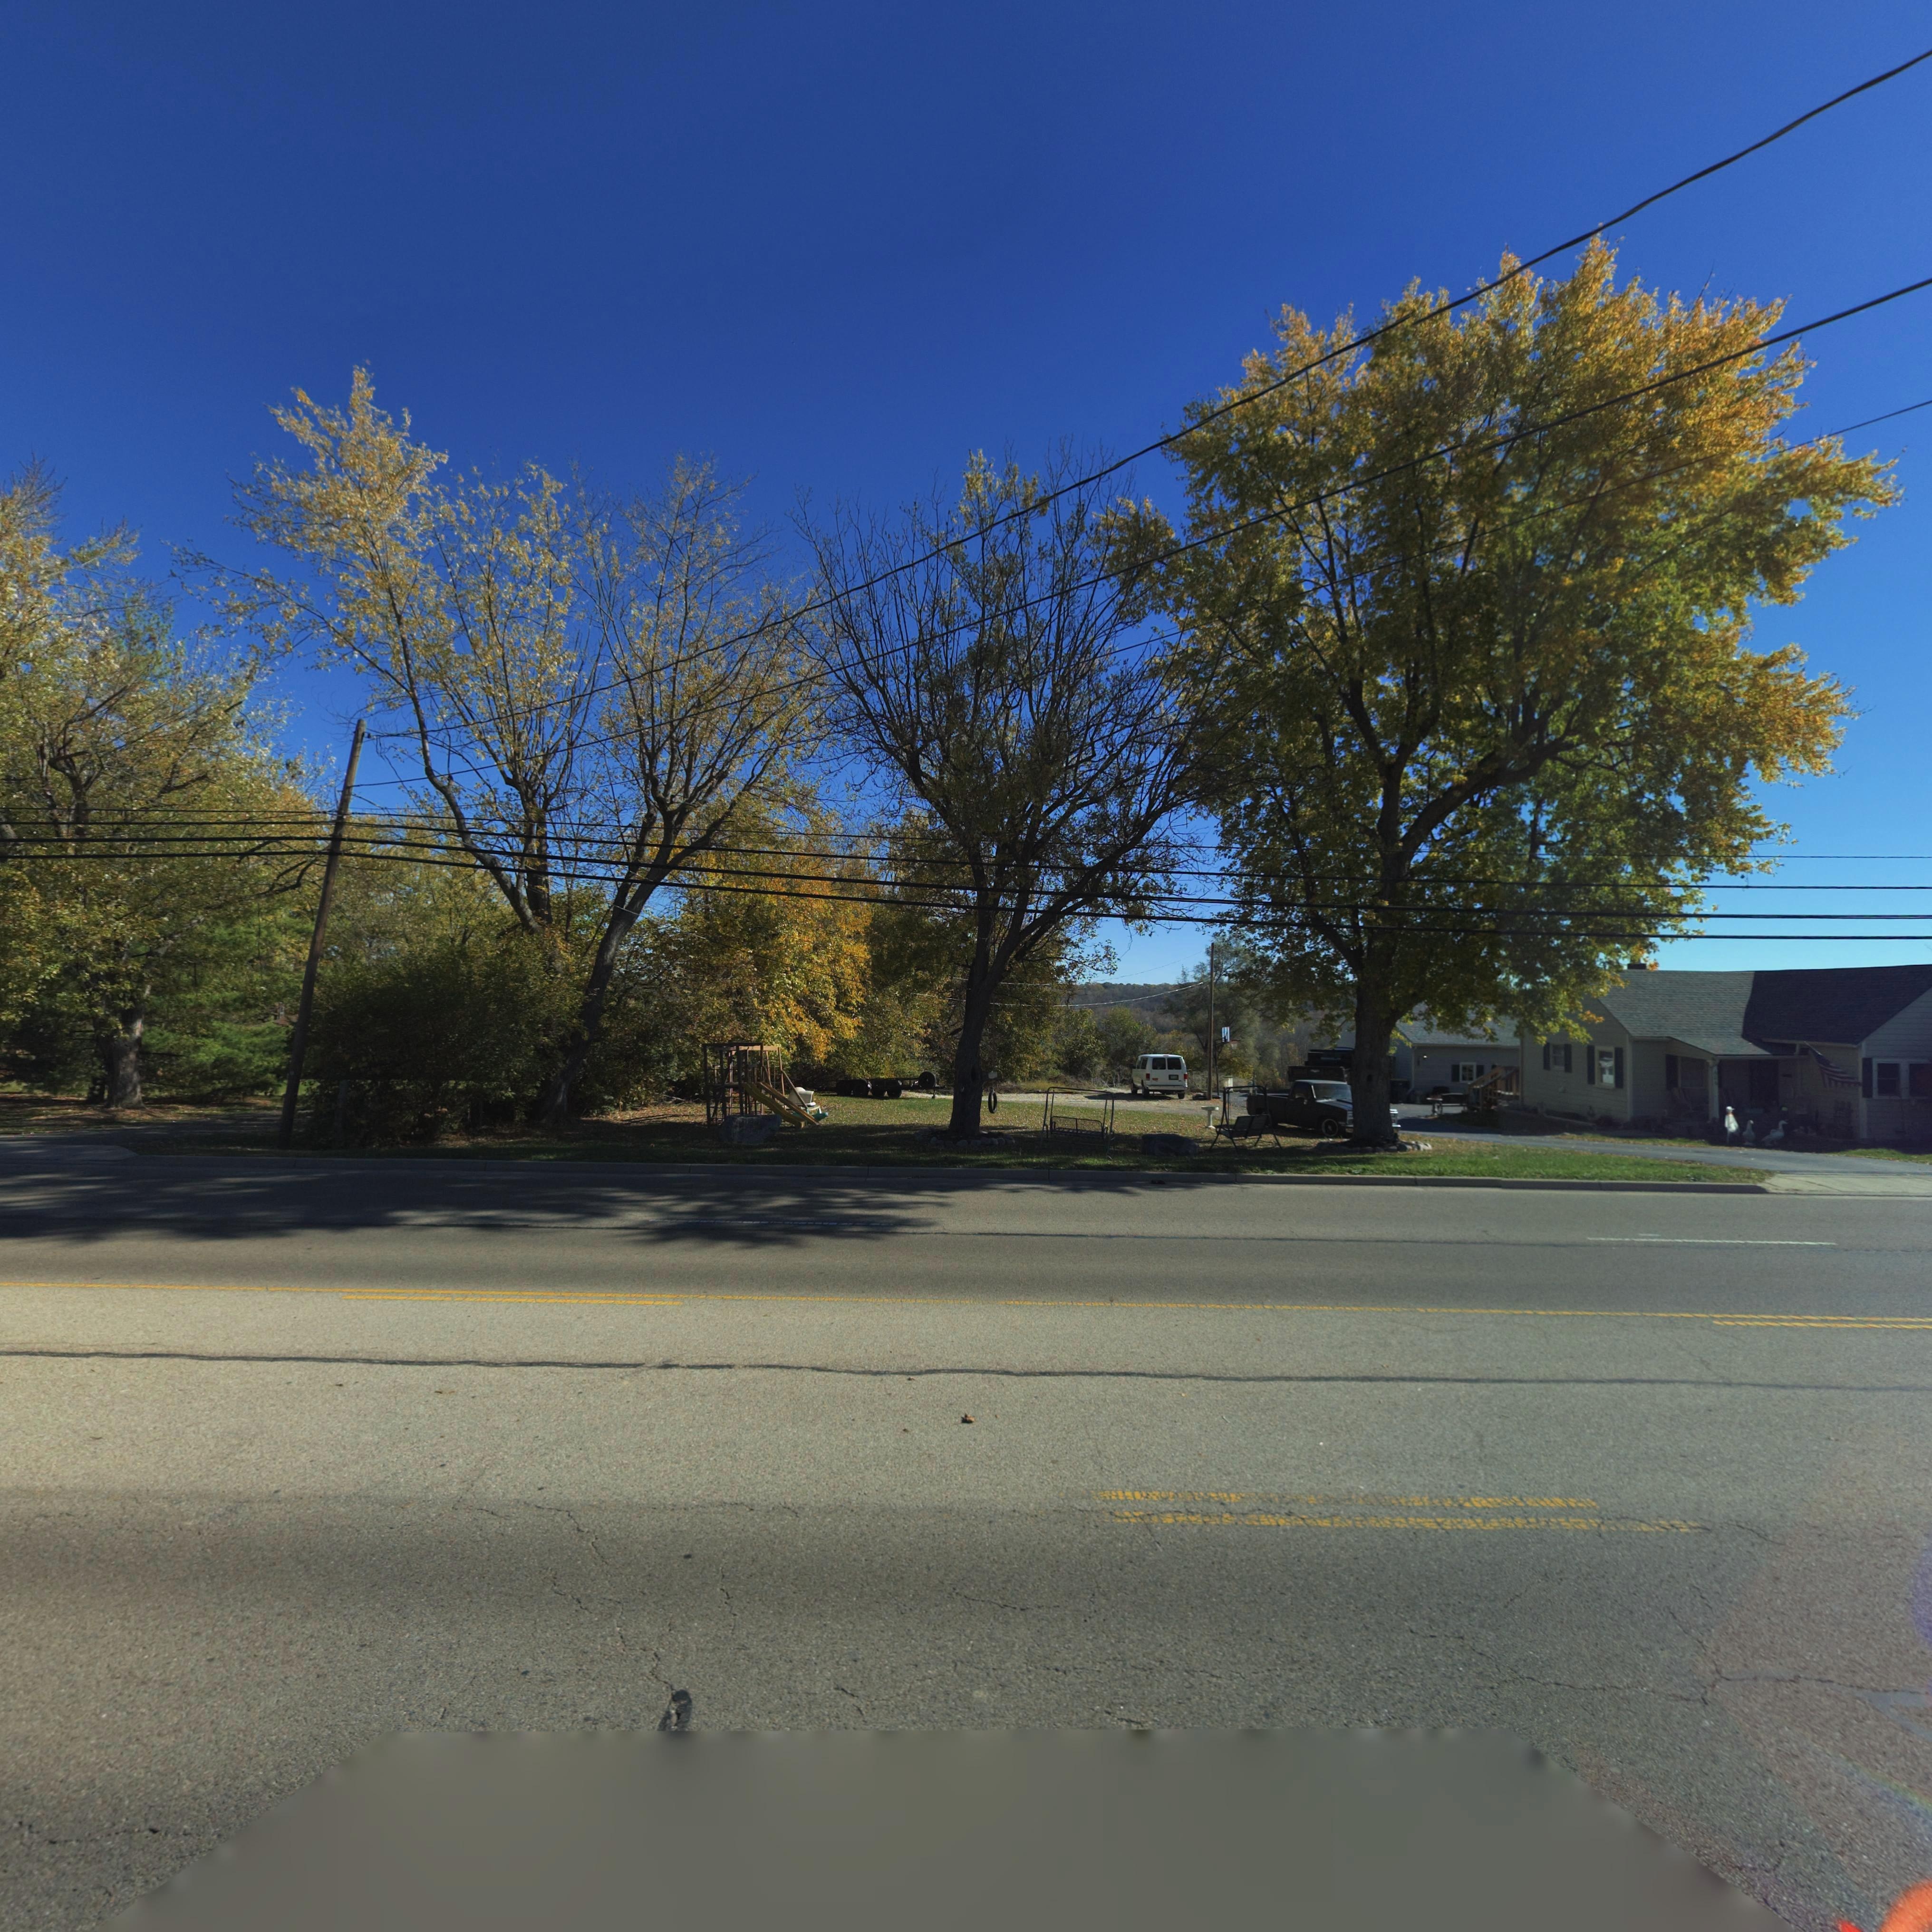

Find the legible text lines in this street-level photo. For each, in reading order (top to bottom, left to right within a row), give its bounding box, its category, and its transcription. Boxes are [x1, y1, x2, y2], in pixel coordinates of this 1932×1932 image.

[1713, 1069, 1718, 1085] StreetNumber: 6**